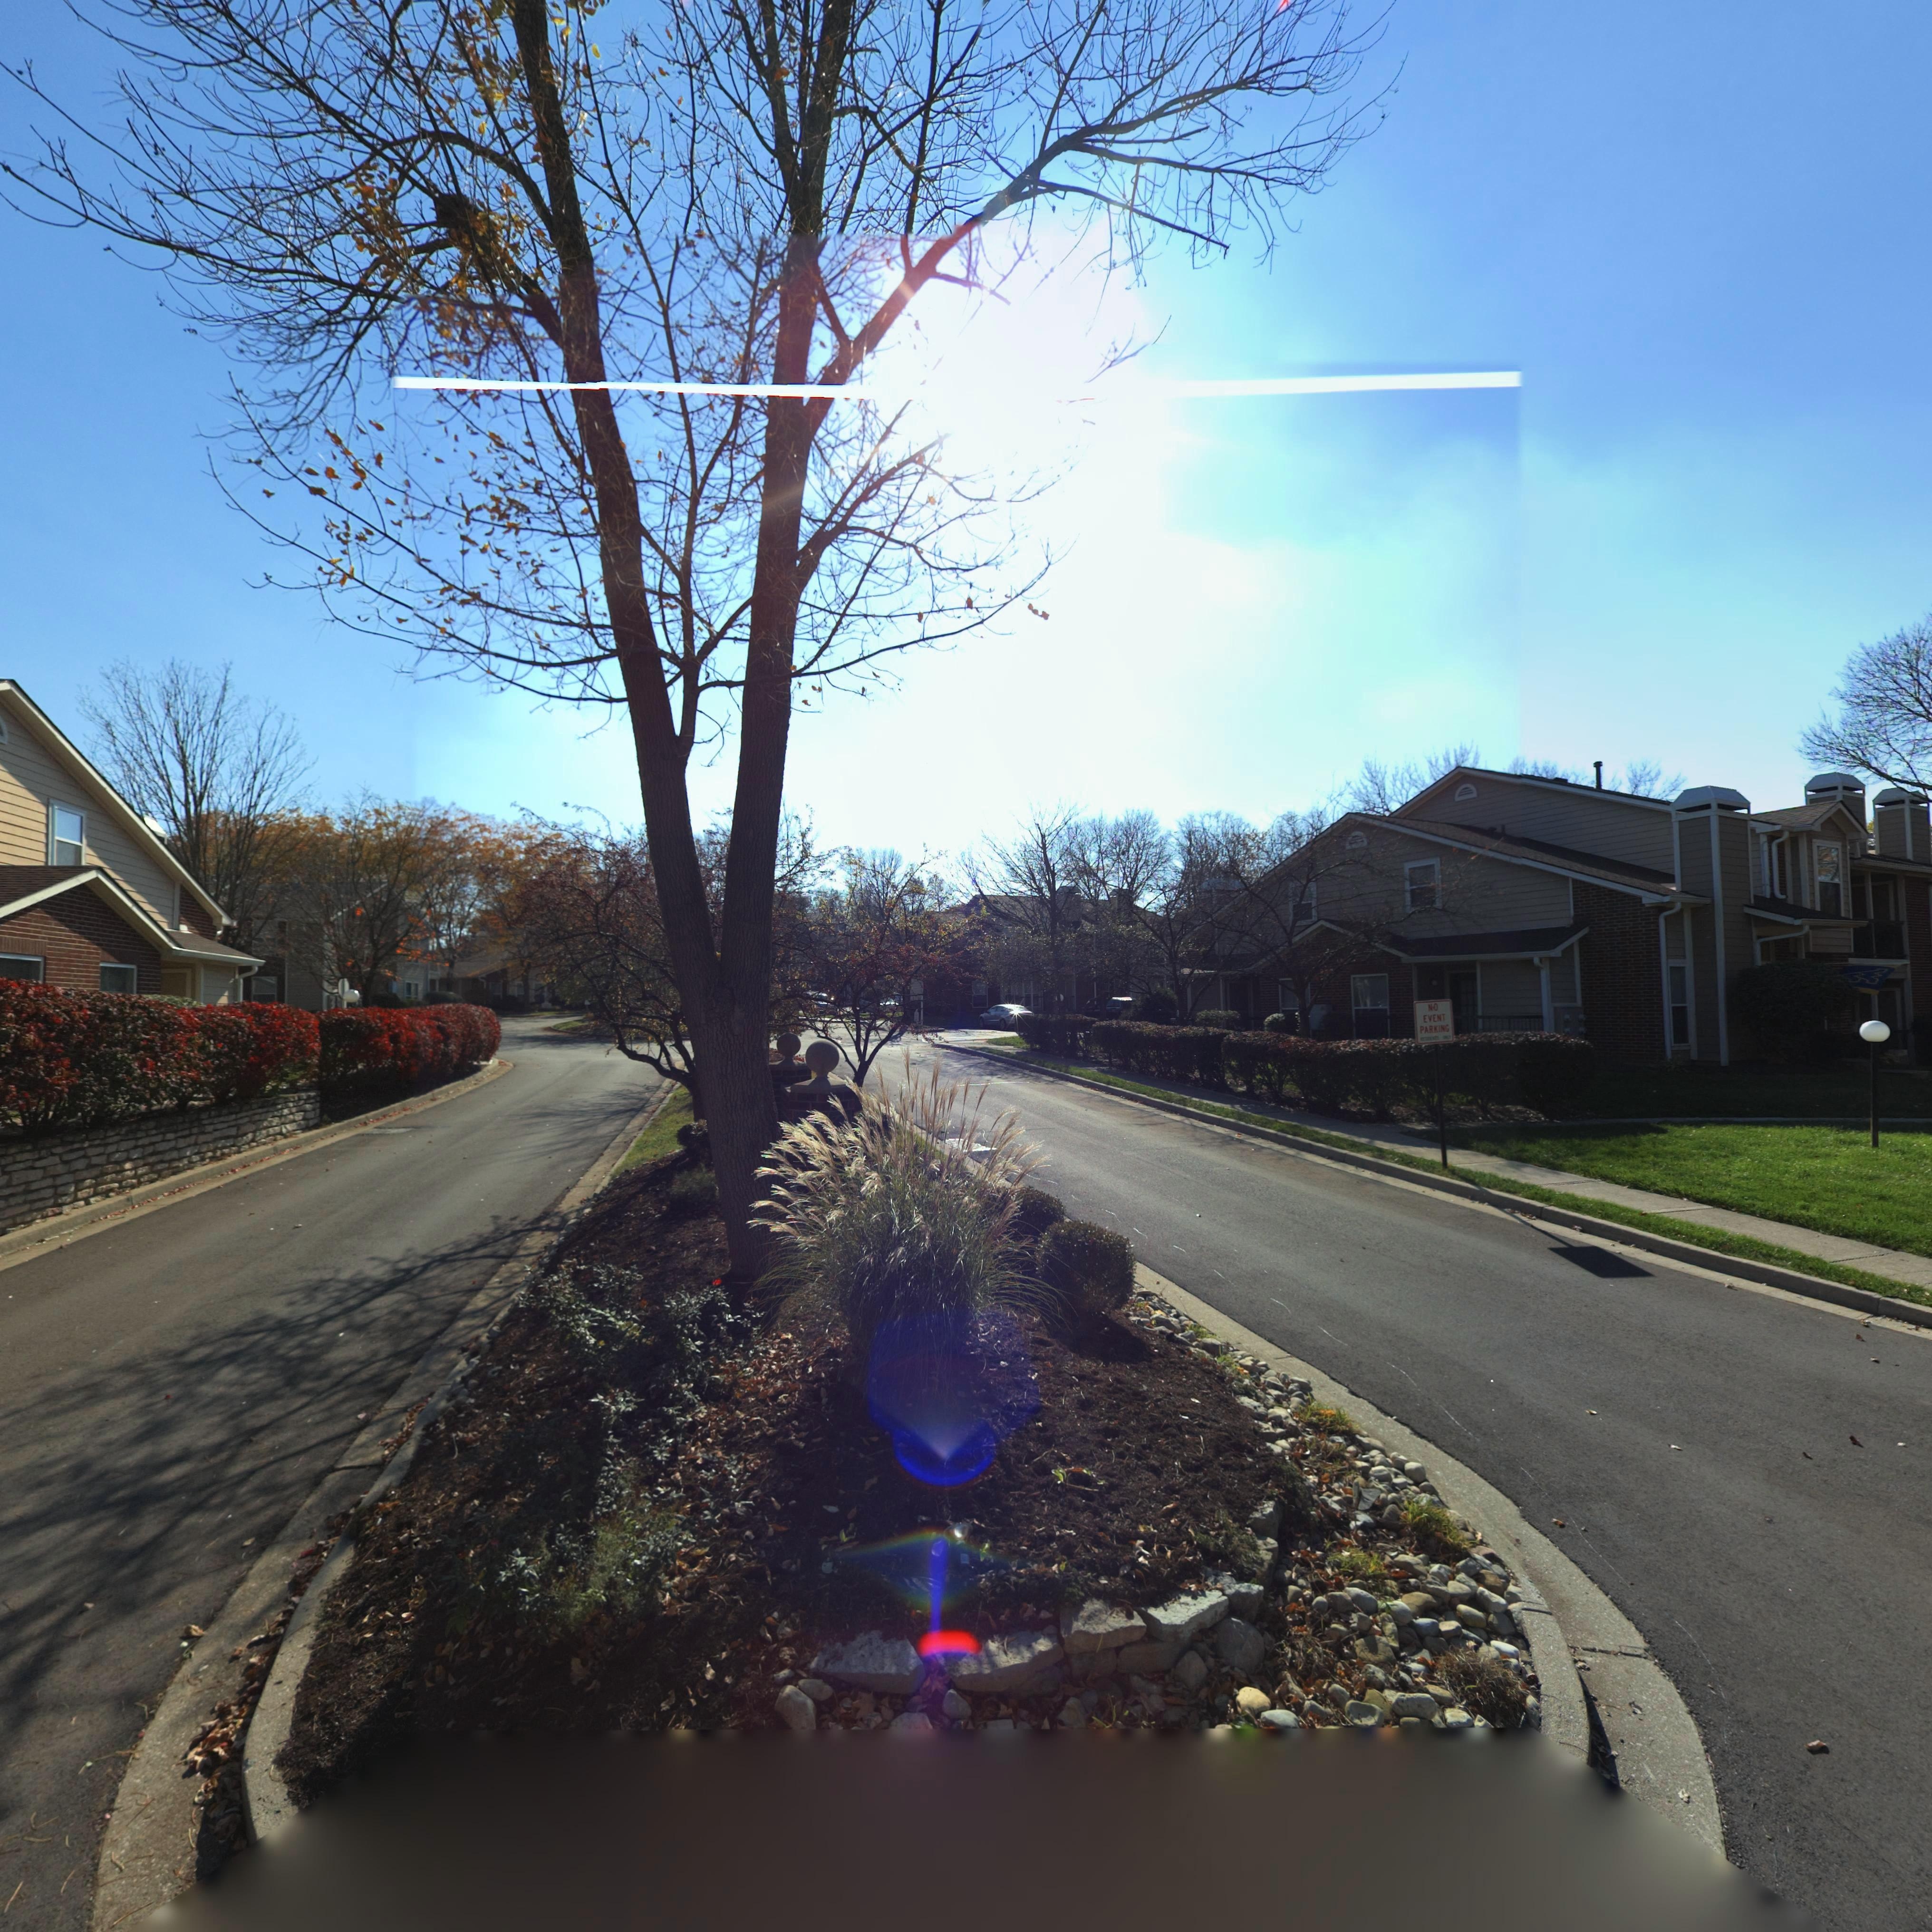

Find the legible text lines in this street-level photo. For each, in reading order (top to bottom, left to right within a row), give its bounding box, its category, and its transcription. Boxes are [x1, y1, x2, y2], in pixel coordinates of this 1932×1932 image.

[1427, 1002, 1439, 1013] None: NO
[1421, 1011, 1448, 1025] None: EVENT
[1418, 1022, 1451, 1036] None: PARKING